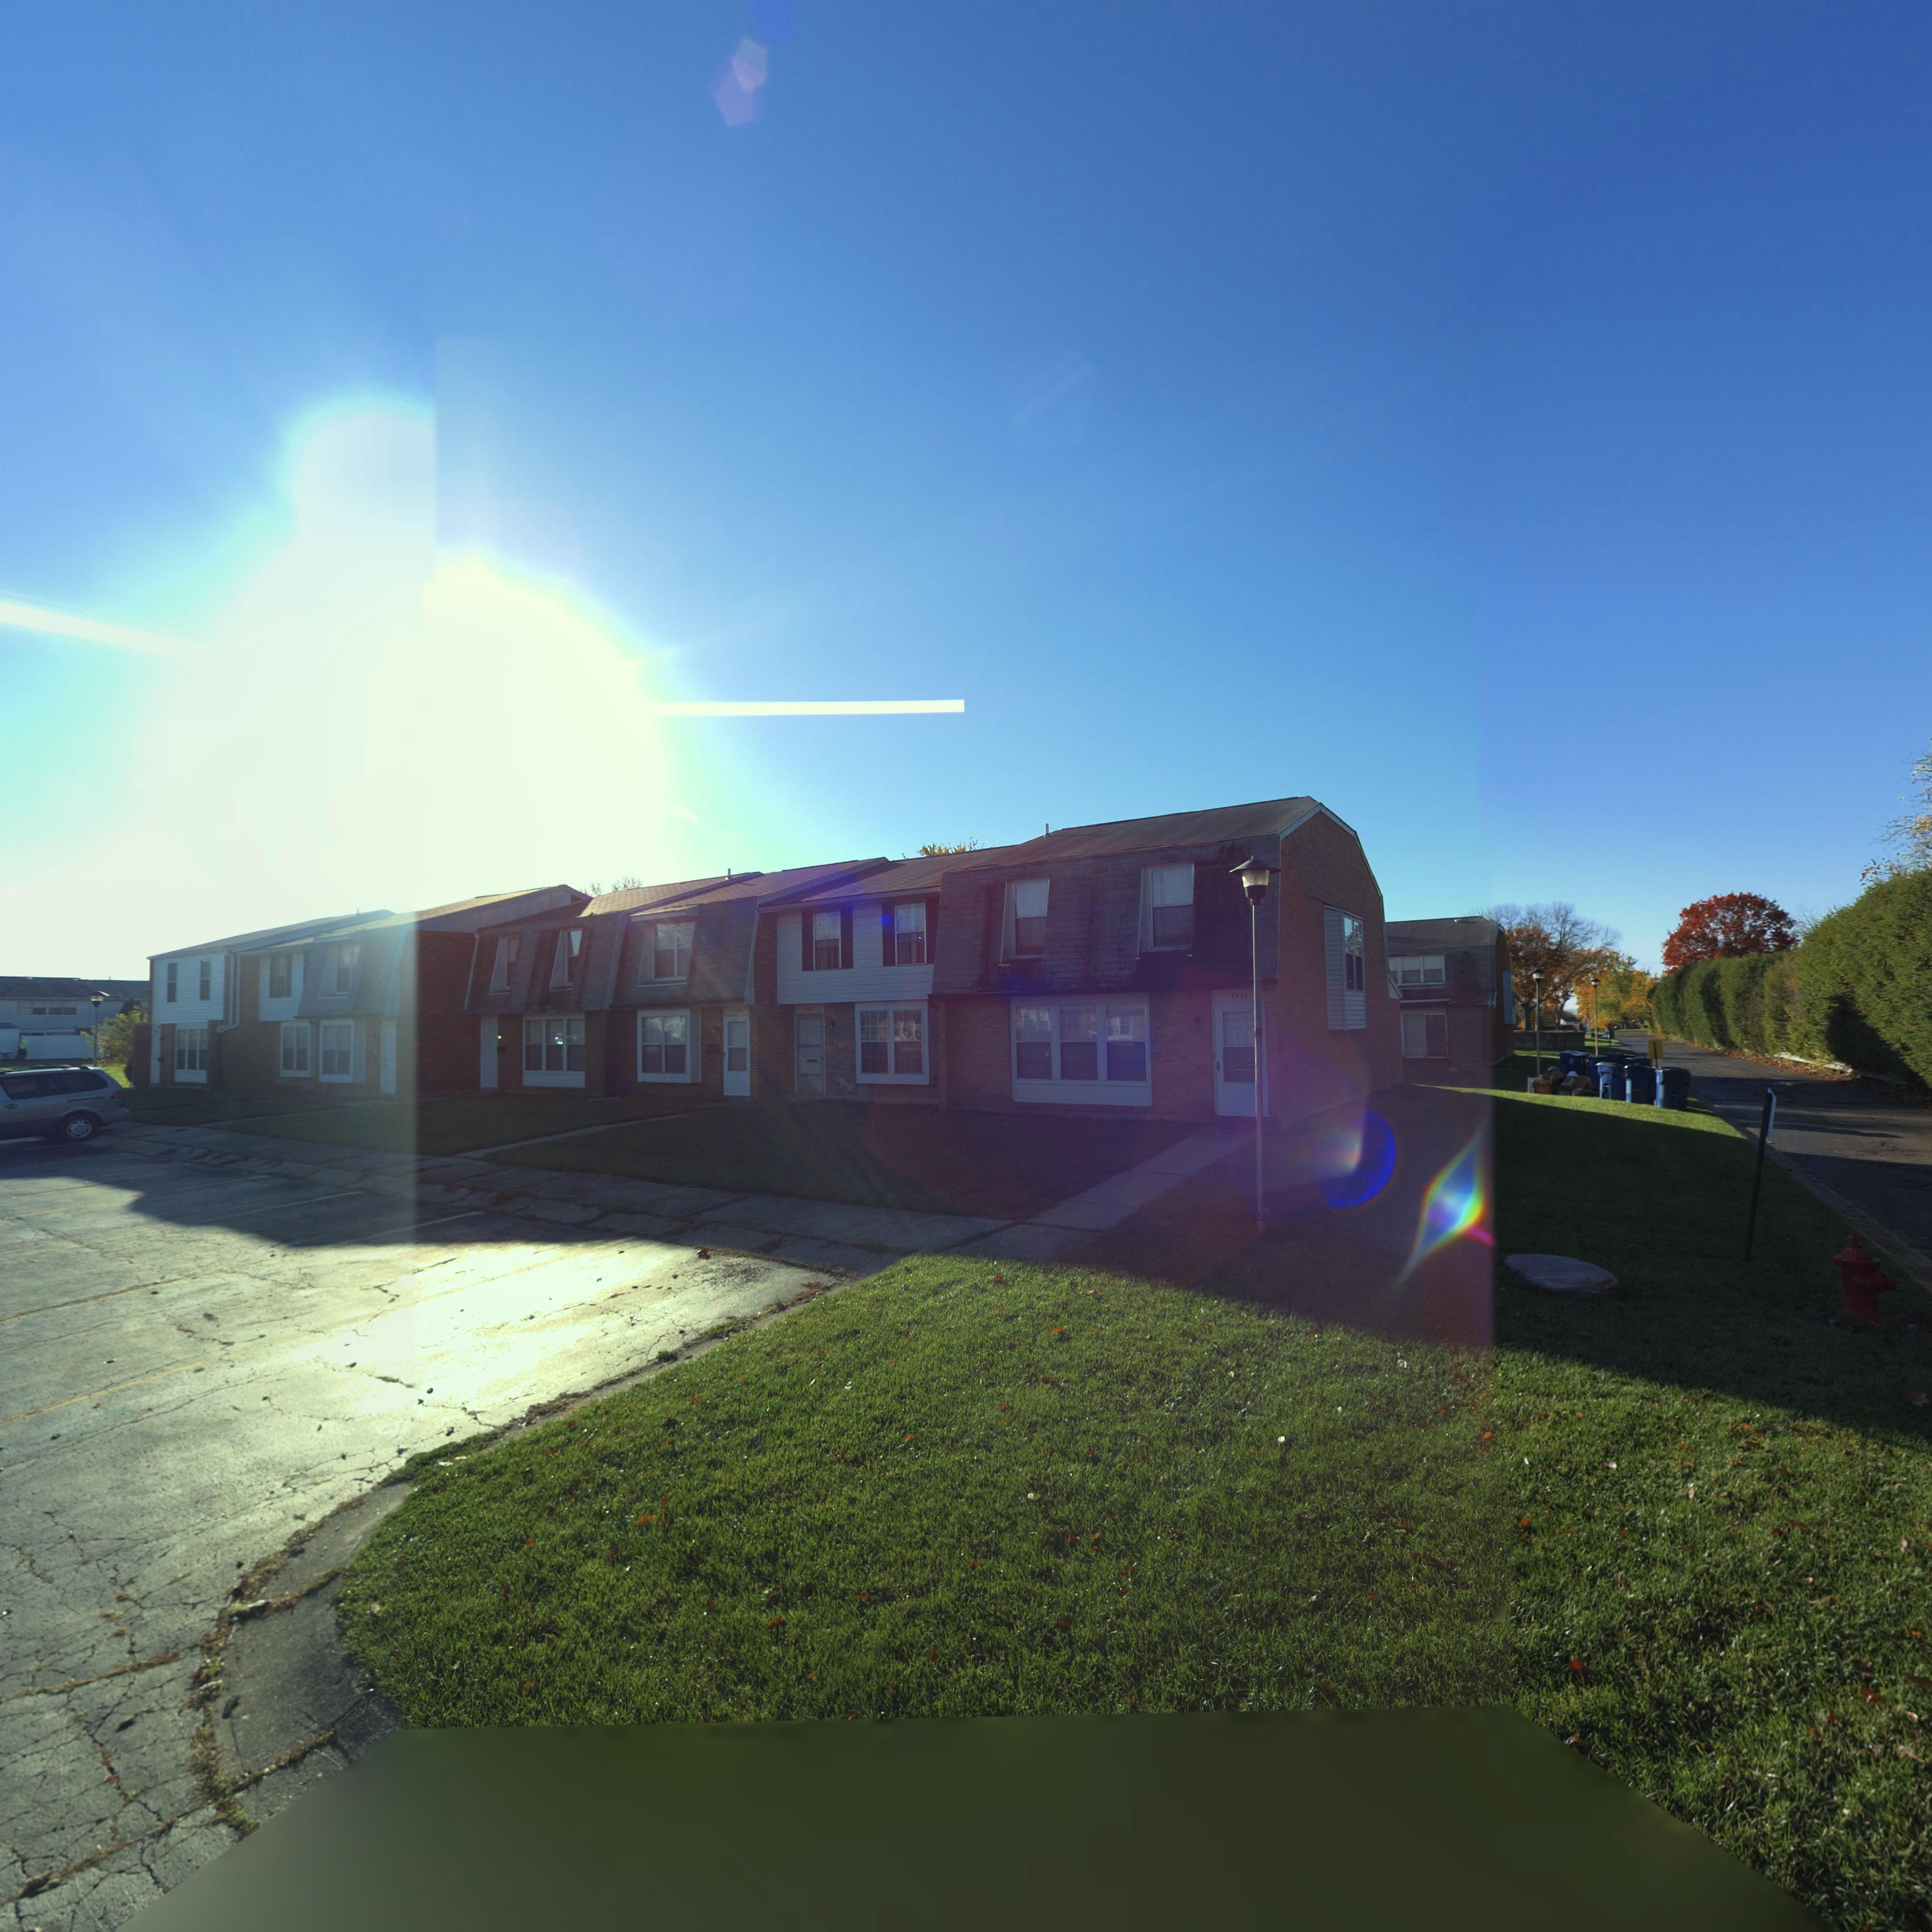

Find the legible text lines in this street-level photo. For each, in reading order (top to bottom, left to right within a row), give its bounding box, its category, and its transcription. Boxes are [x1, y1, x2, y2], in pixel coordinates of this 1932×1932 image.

[1229, 992, 1249, 1000] StreetNumber: 7510